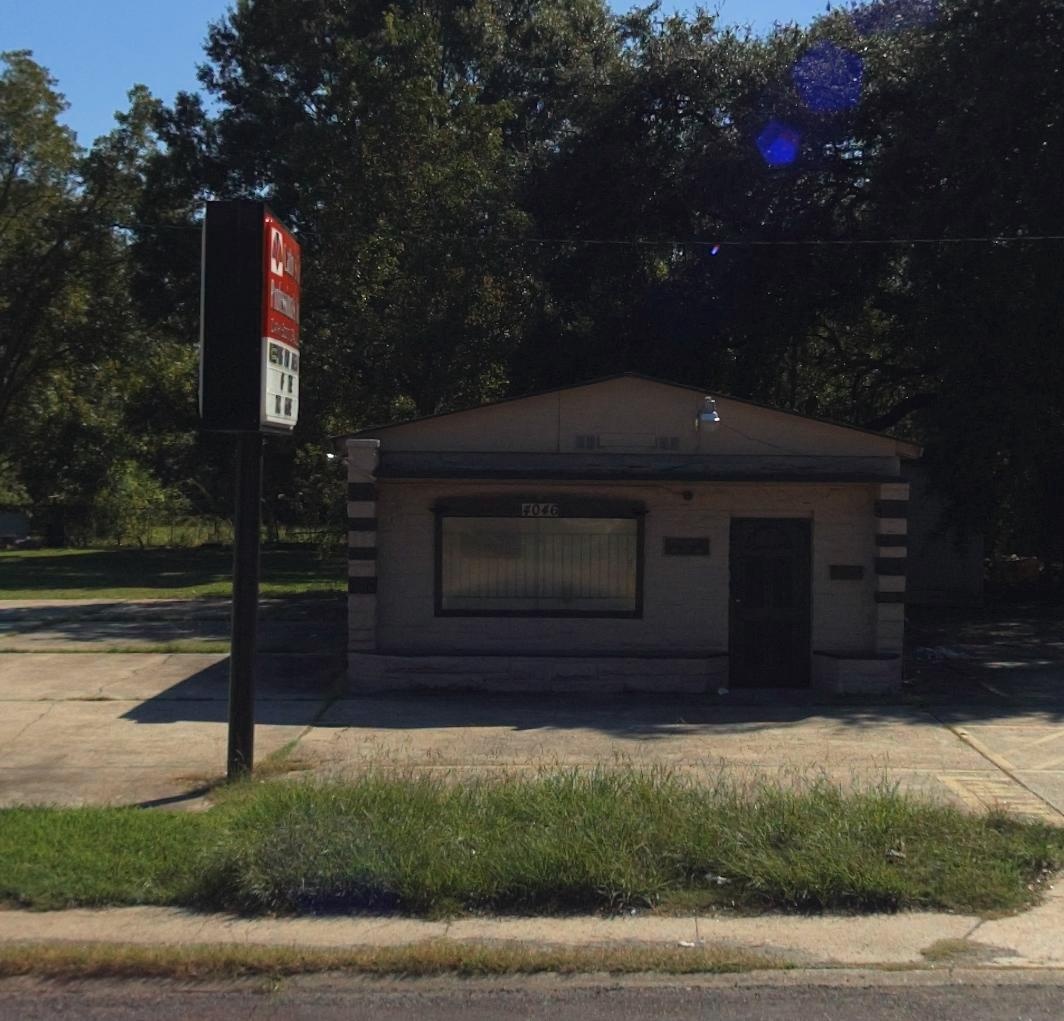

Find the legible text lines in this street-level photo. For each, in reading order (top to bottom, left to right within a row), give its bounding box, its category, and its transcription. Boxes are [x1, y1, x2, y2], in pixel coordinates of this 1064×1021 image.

[521, 504, 558, 516] StreetNumber: 4046